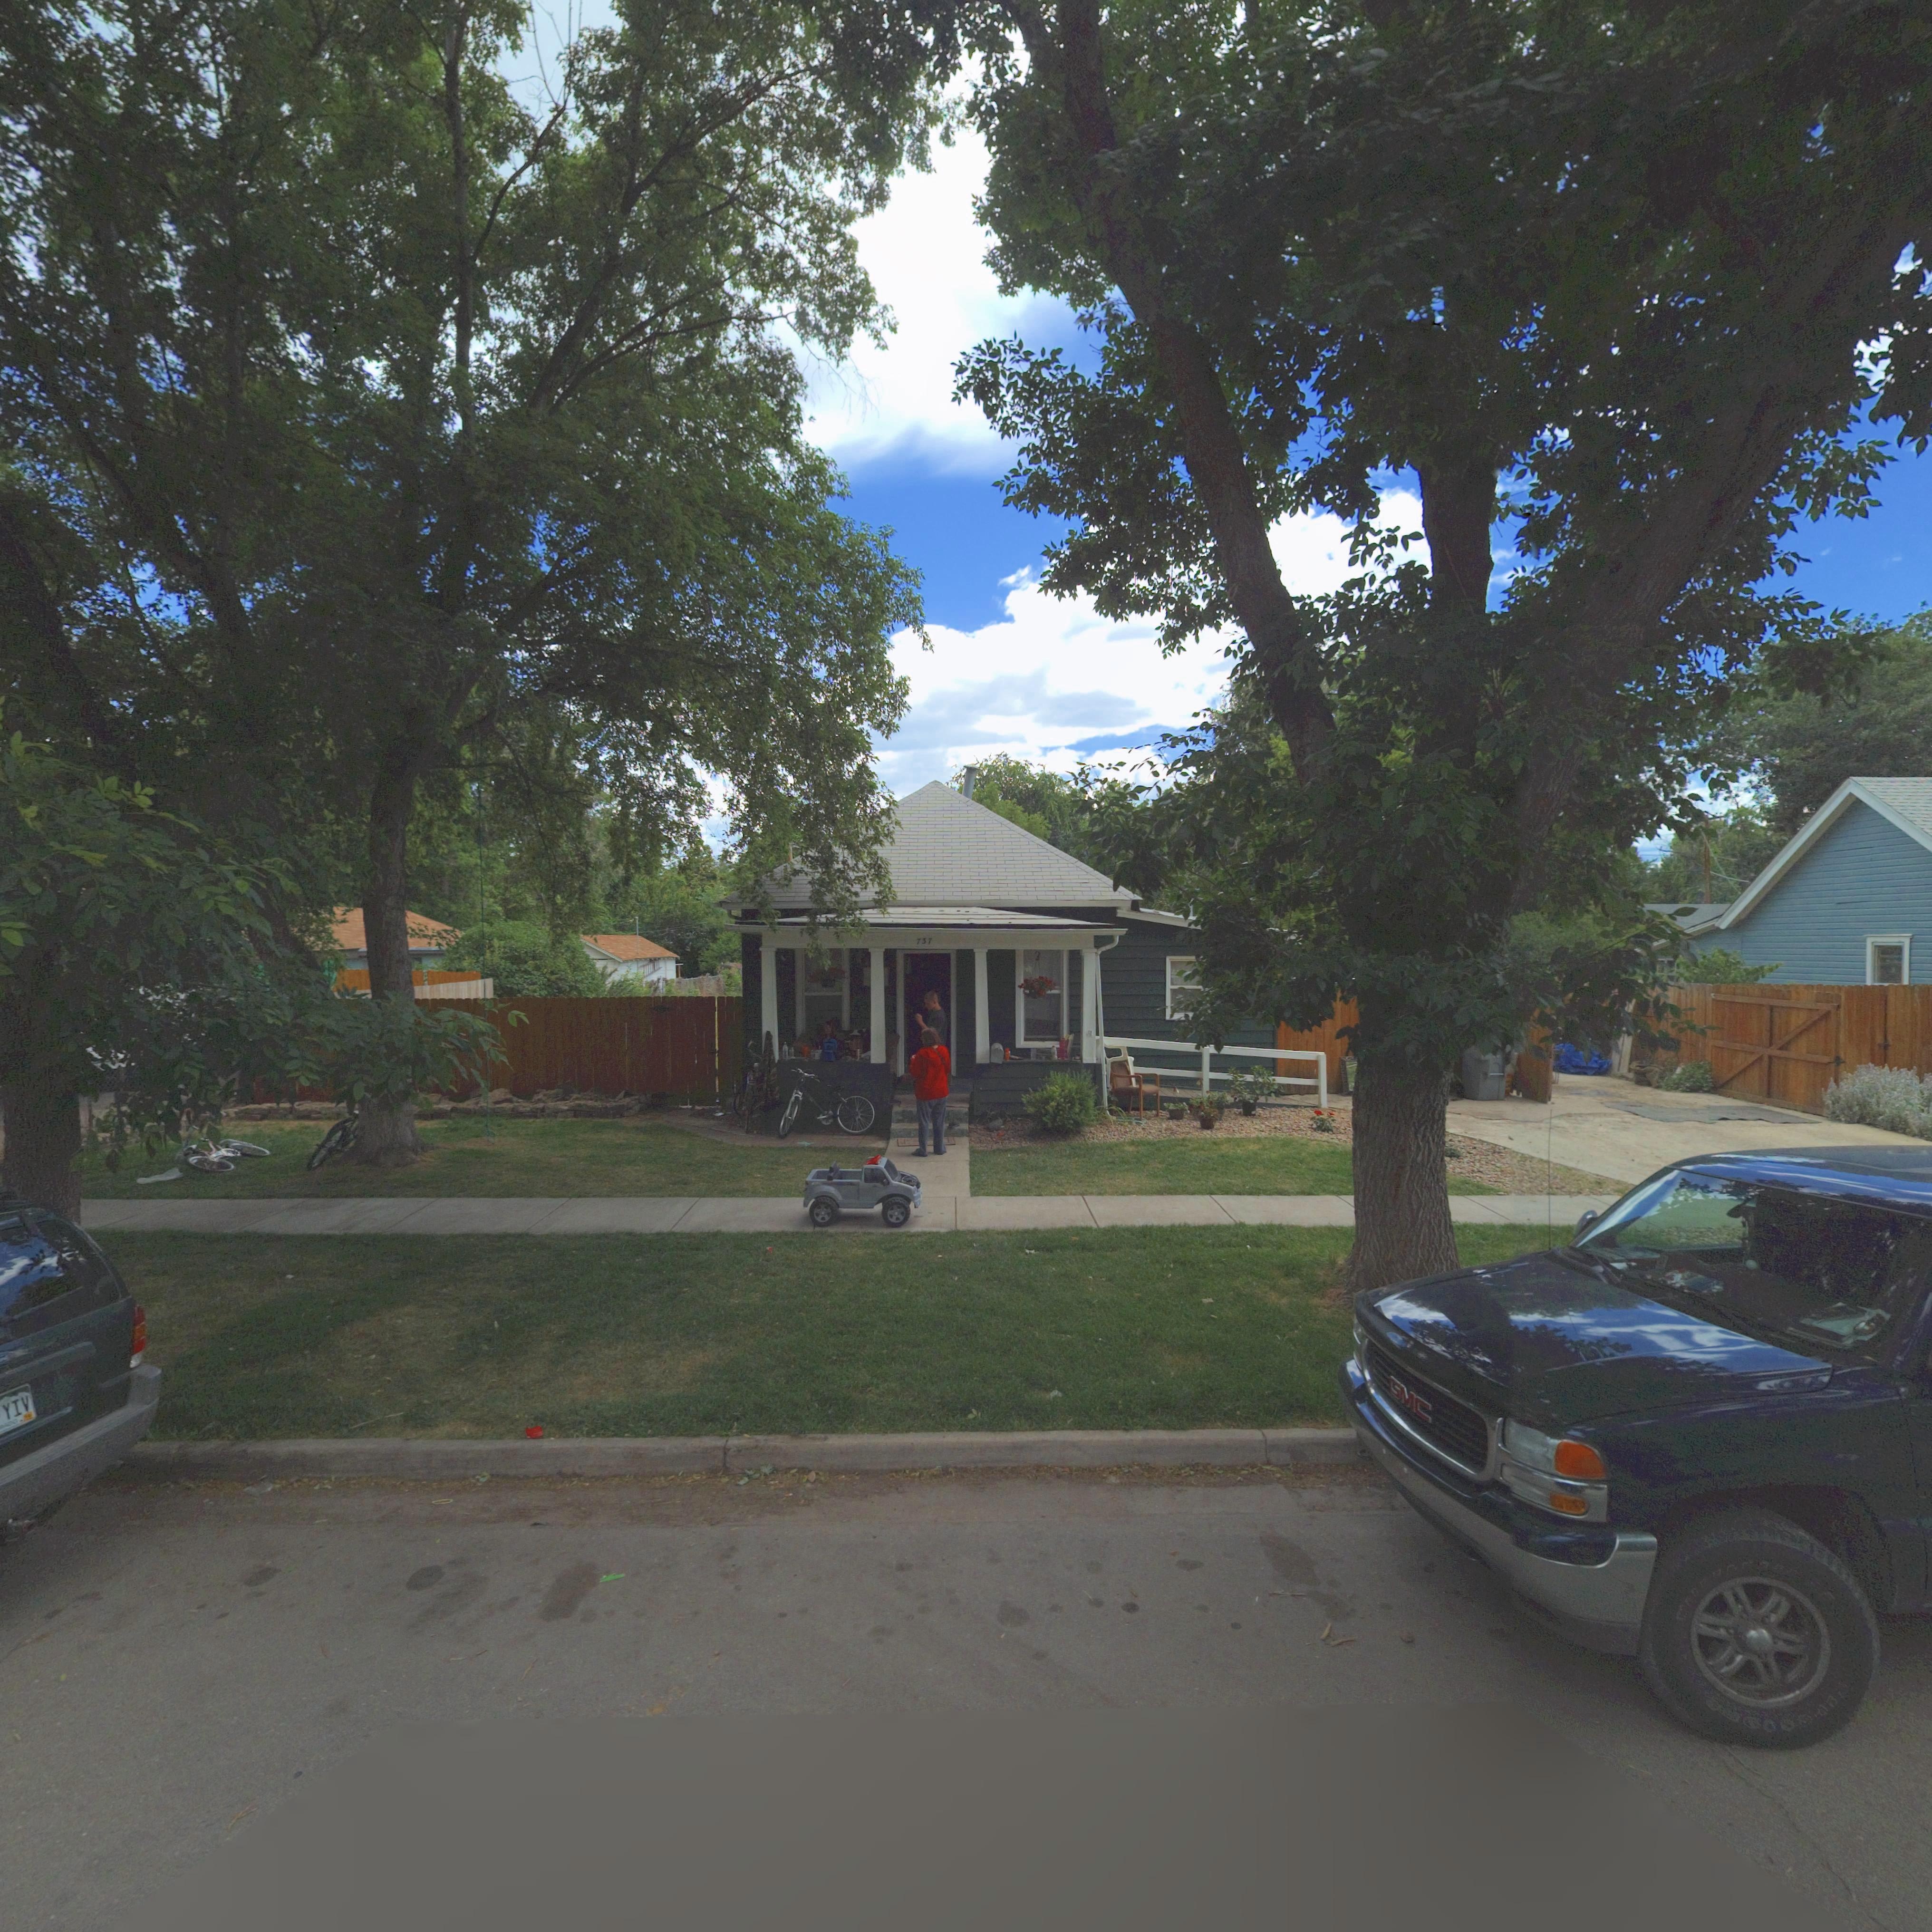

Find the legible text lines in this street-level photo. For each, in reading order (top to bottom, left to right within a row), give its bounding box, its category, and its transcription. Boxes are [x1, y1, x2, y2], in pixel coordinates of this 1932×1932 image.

[916, 937, 932, 945] StreetNumber: 737